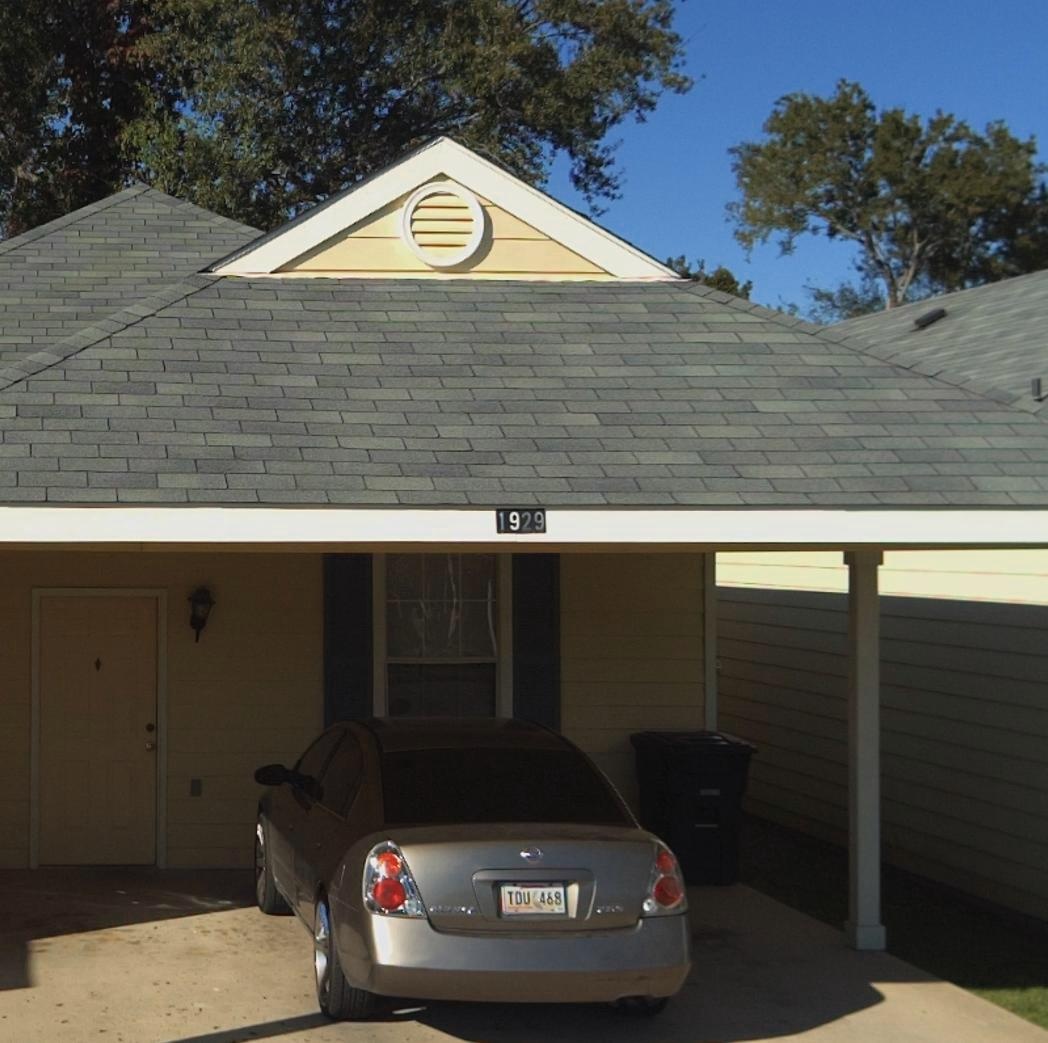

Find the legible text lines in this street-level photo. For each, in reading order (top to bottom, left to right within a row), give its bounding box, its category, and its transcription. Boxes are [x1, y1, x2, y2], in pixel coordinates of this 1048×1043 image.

[498, 509, 546, 533] StreetNumber: 1929
[505, 889, 563, 906] None: TDU*468